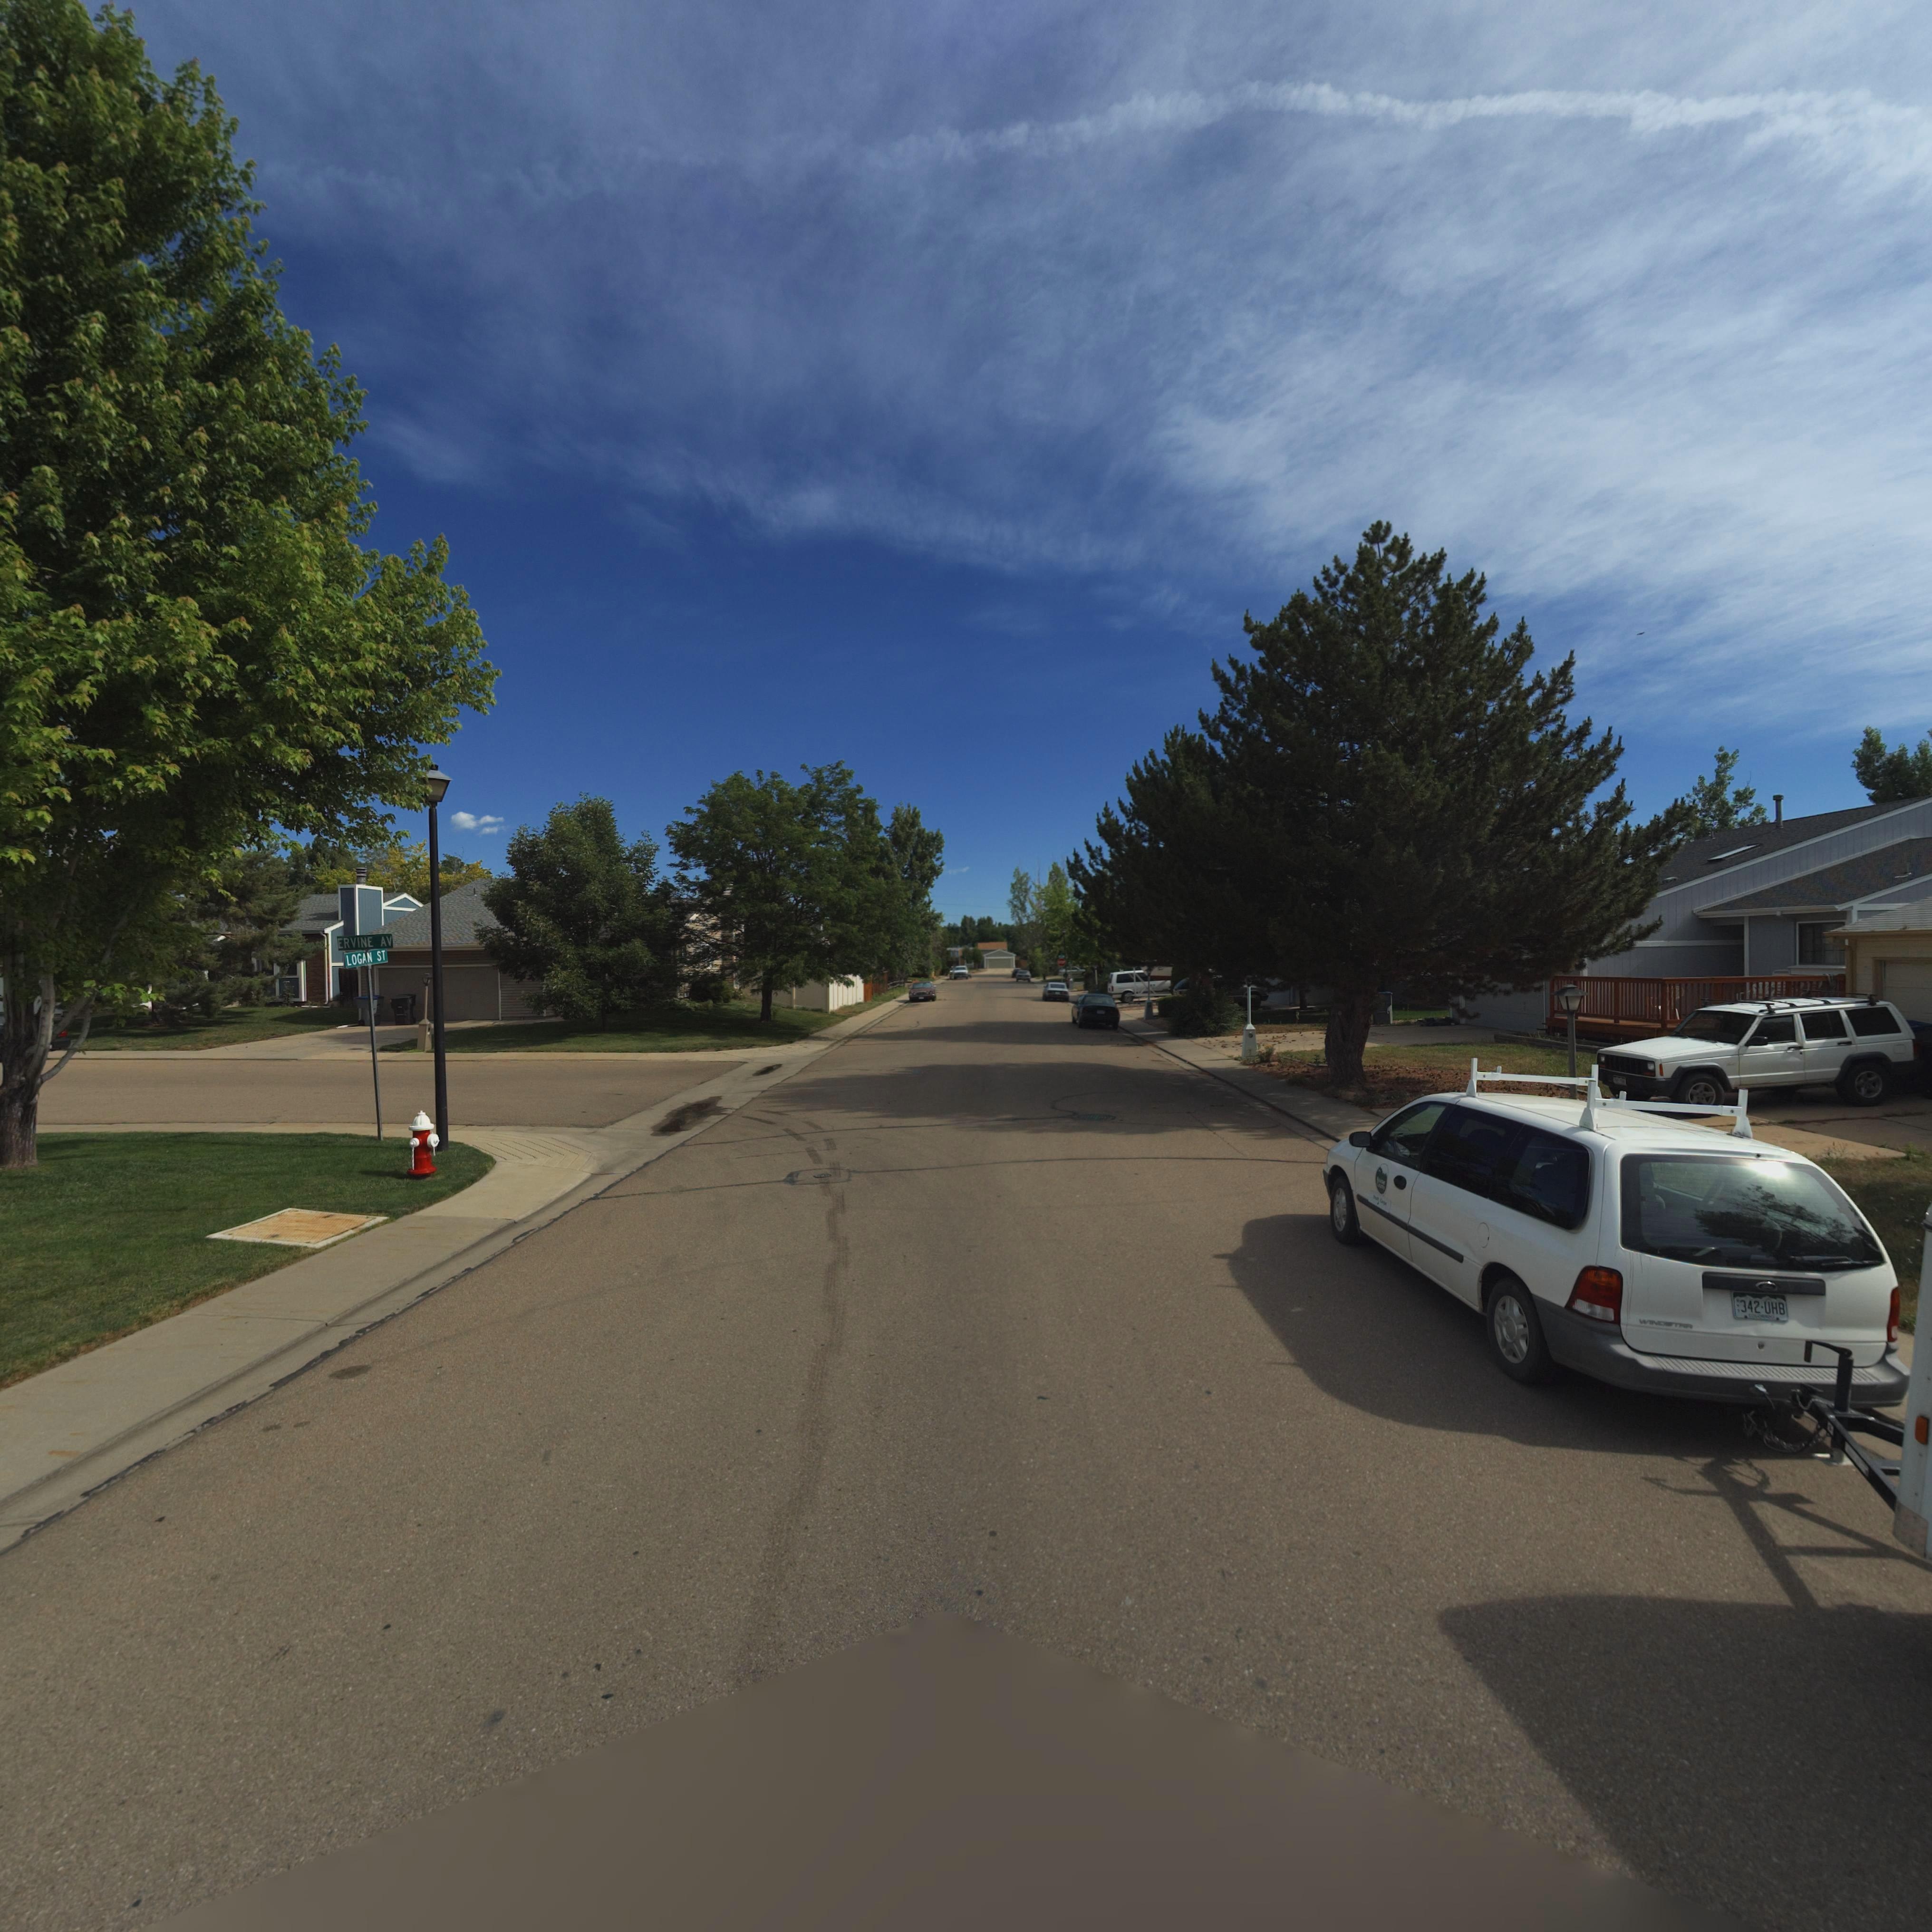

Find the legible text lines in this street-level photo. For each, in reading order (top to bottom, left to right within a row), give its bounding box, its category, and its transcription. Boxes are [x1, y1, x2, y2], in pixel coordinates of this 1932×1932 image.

[338, 935, 391, 948] StreetName: ERVINE AV
[346, 950, 385, 966] StreetName: LOGAN ST